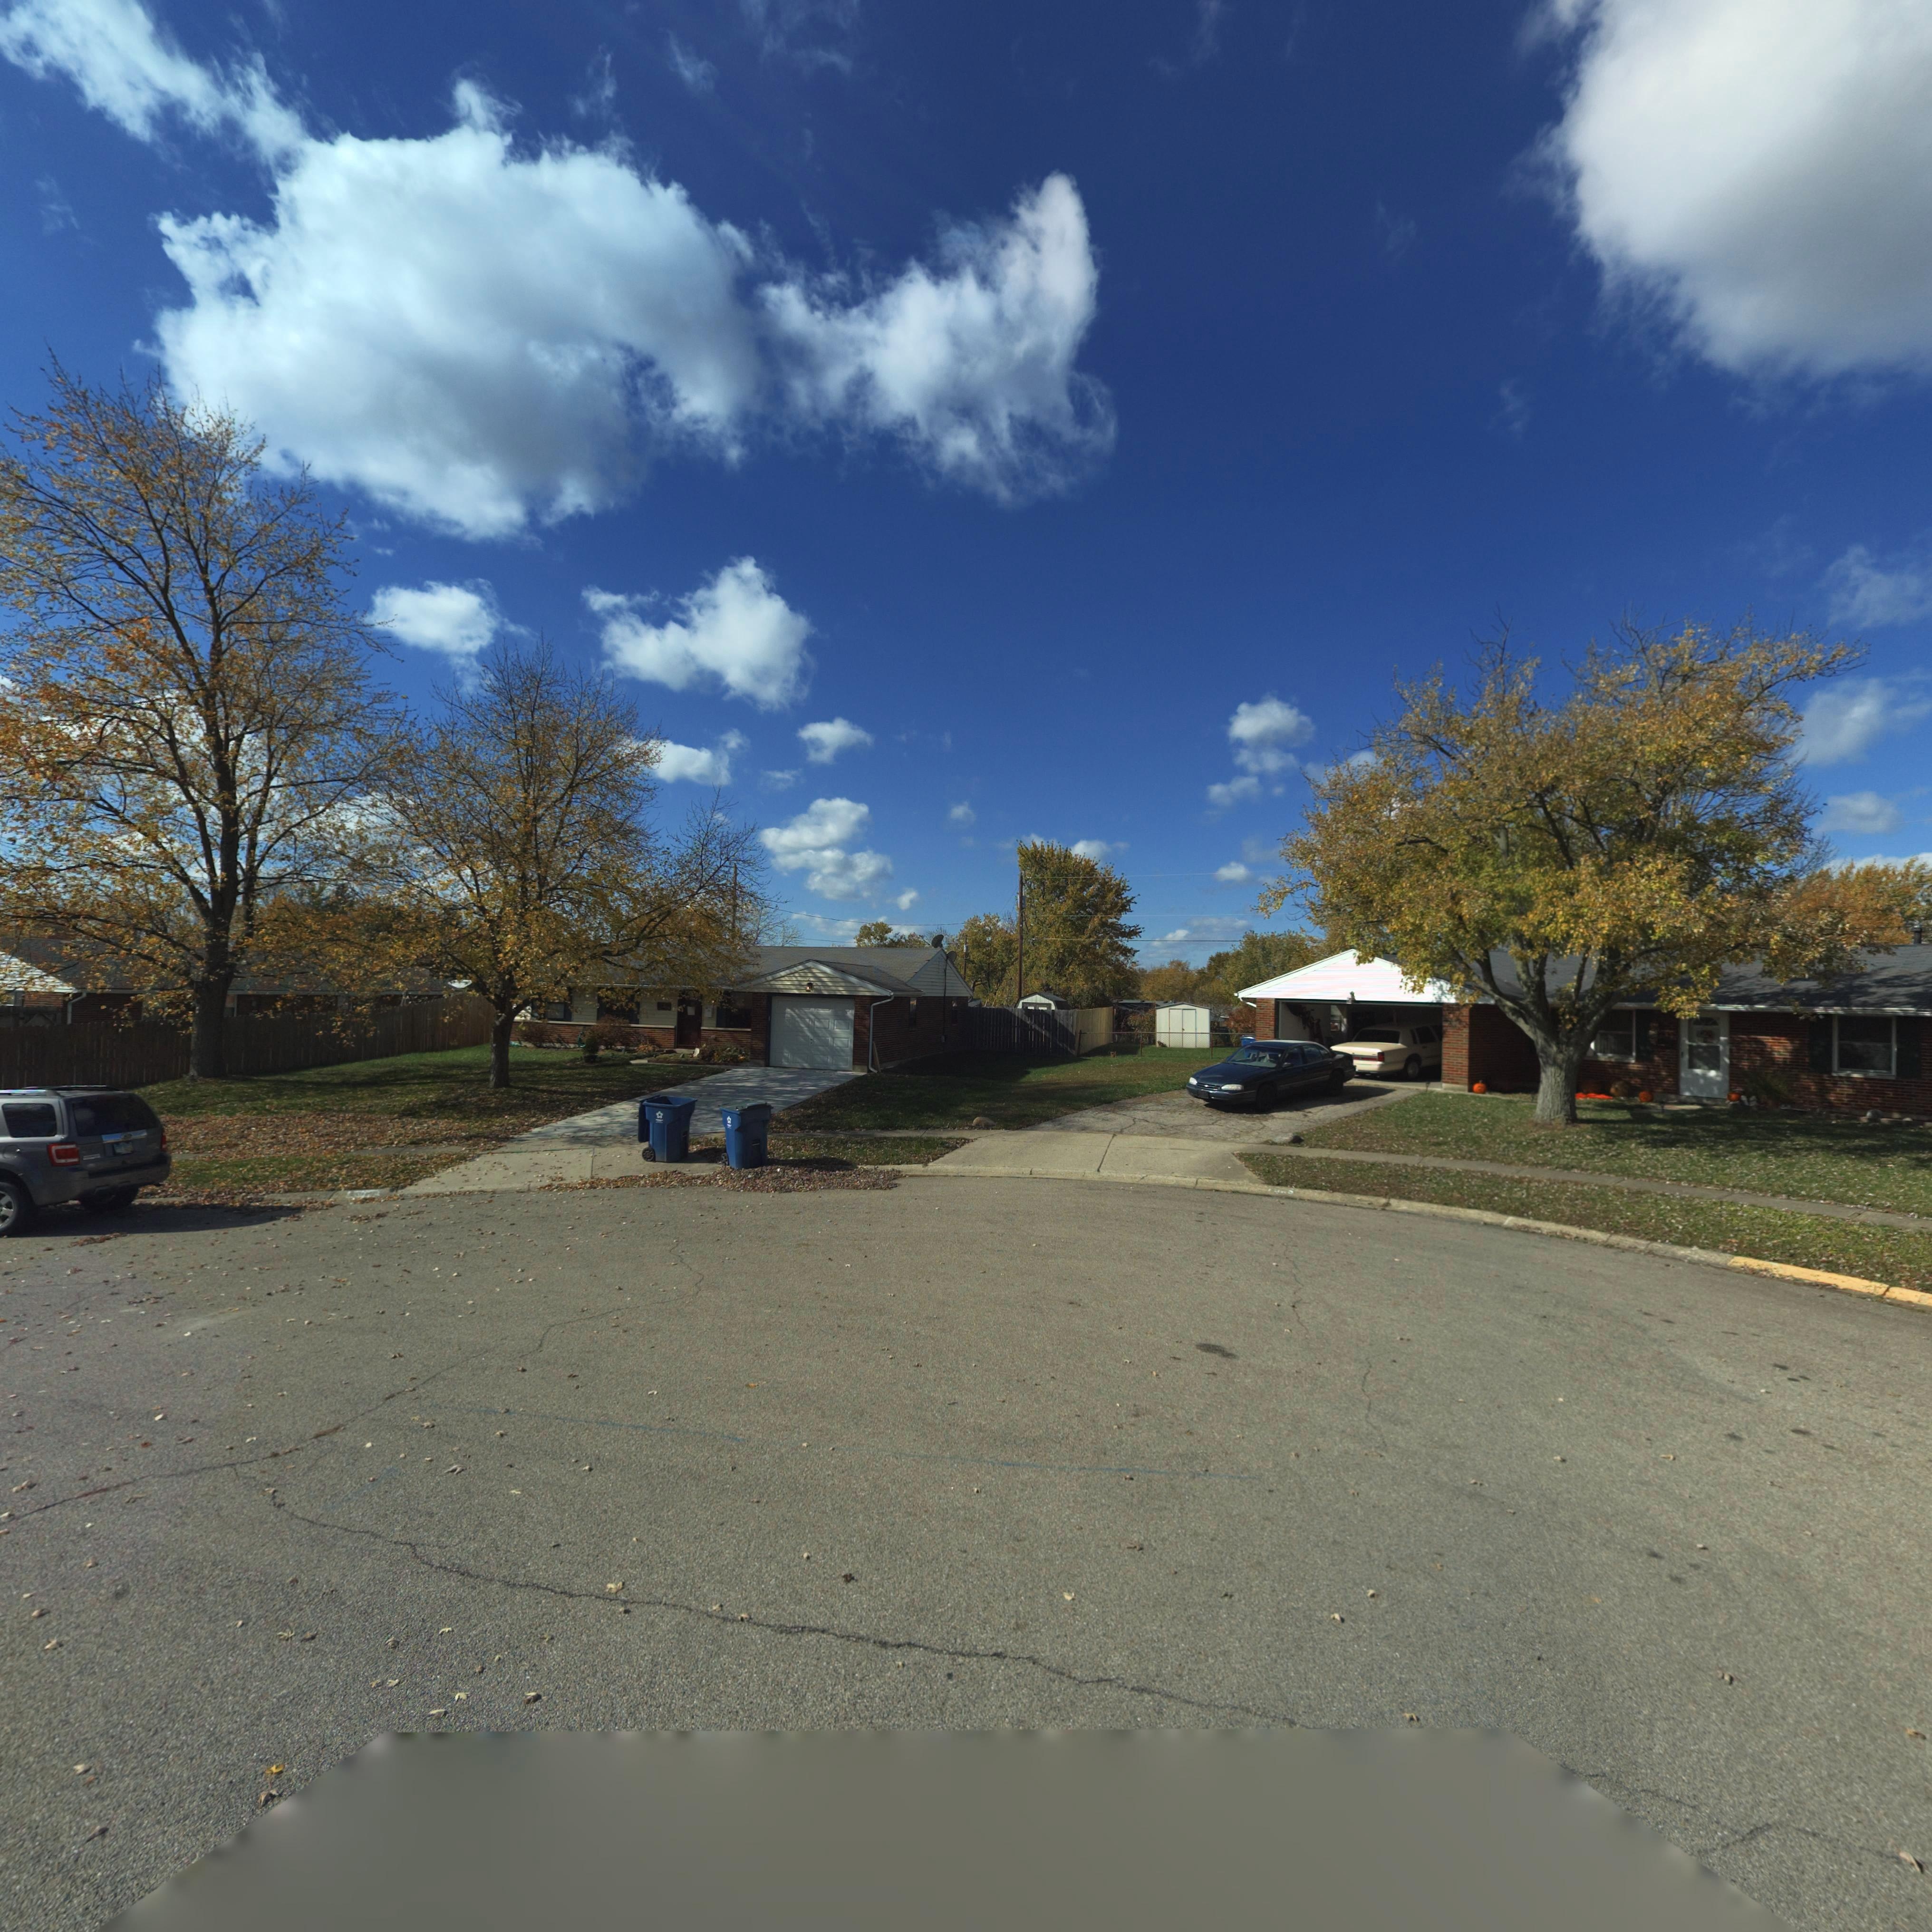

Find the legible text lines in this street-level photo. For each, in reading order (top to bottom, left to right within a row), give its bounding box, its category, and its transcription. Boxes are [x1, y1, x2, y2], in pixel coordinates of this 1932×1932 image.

[1267, 1185, 1294, 1196] StreetNumber: 7**5